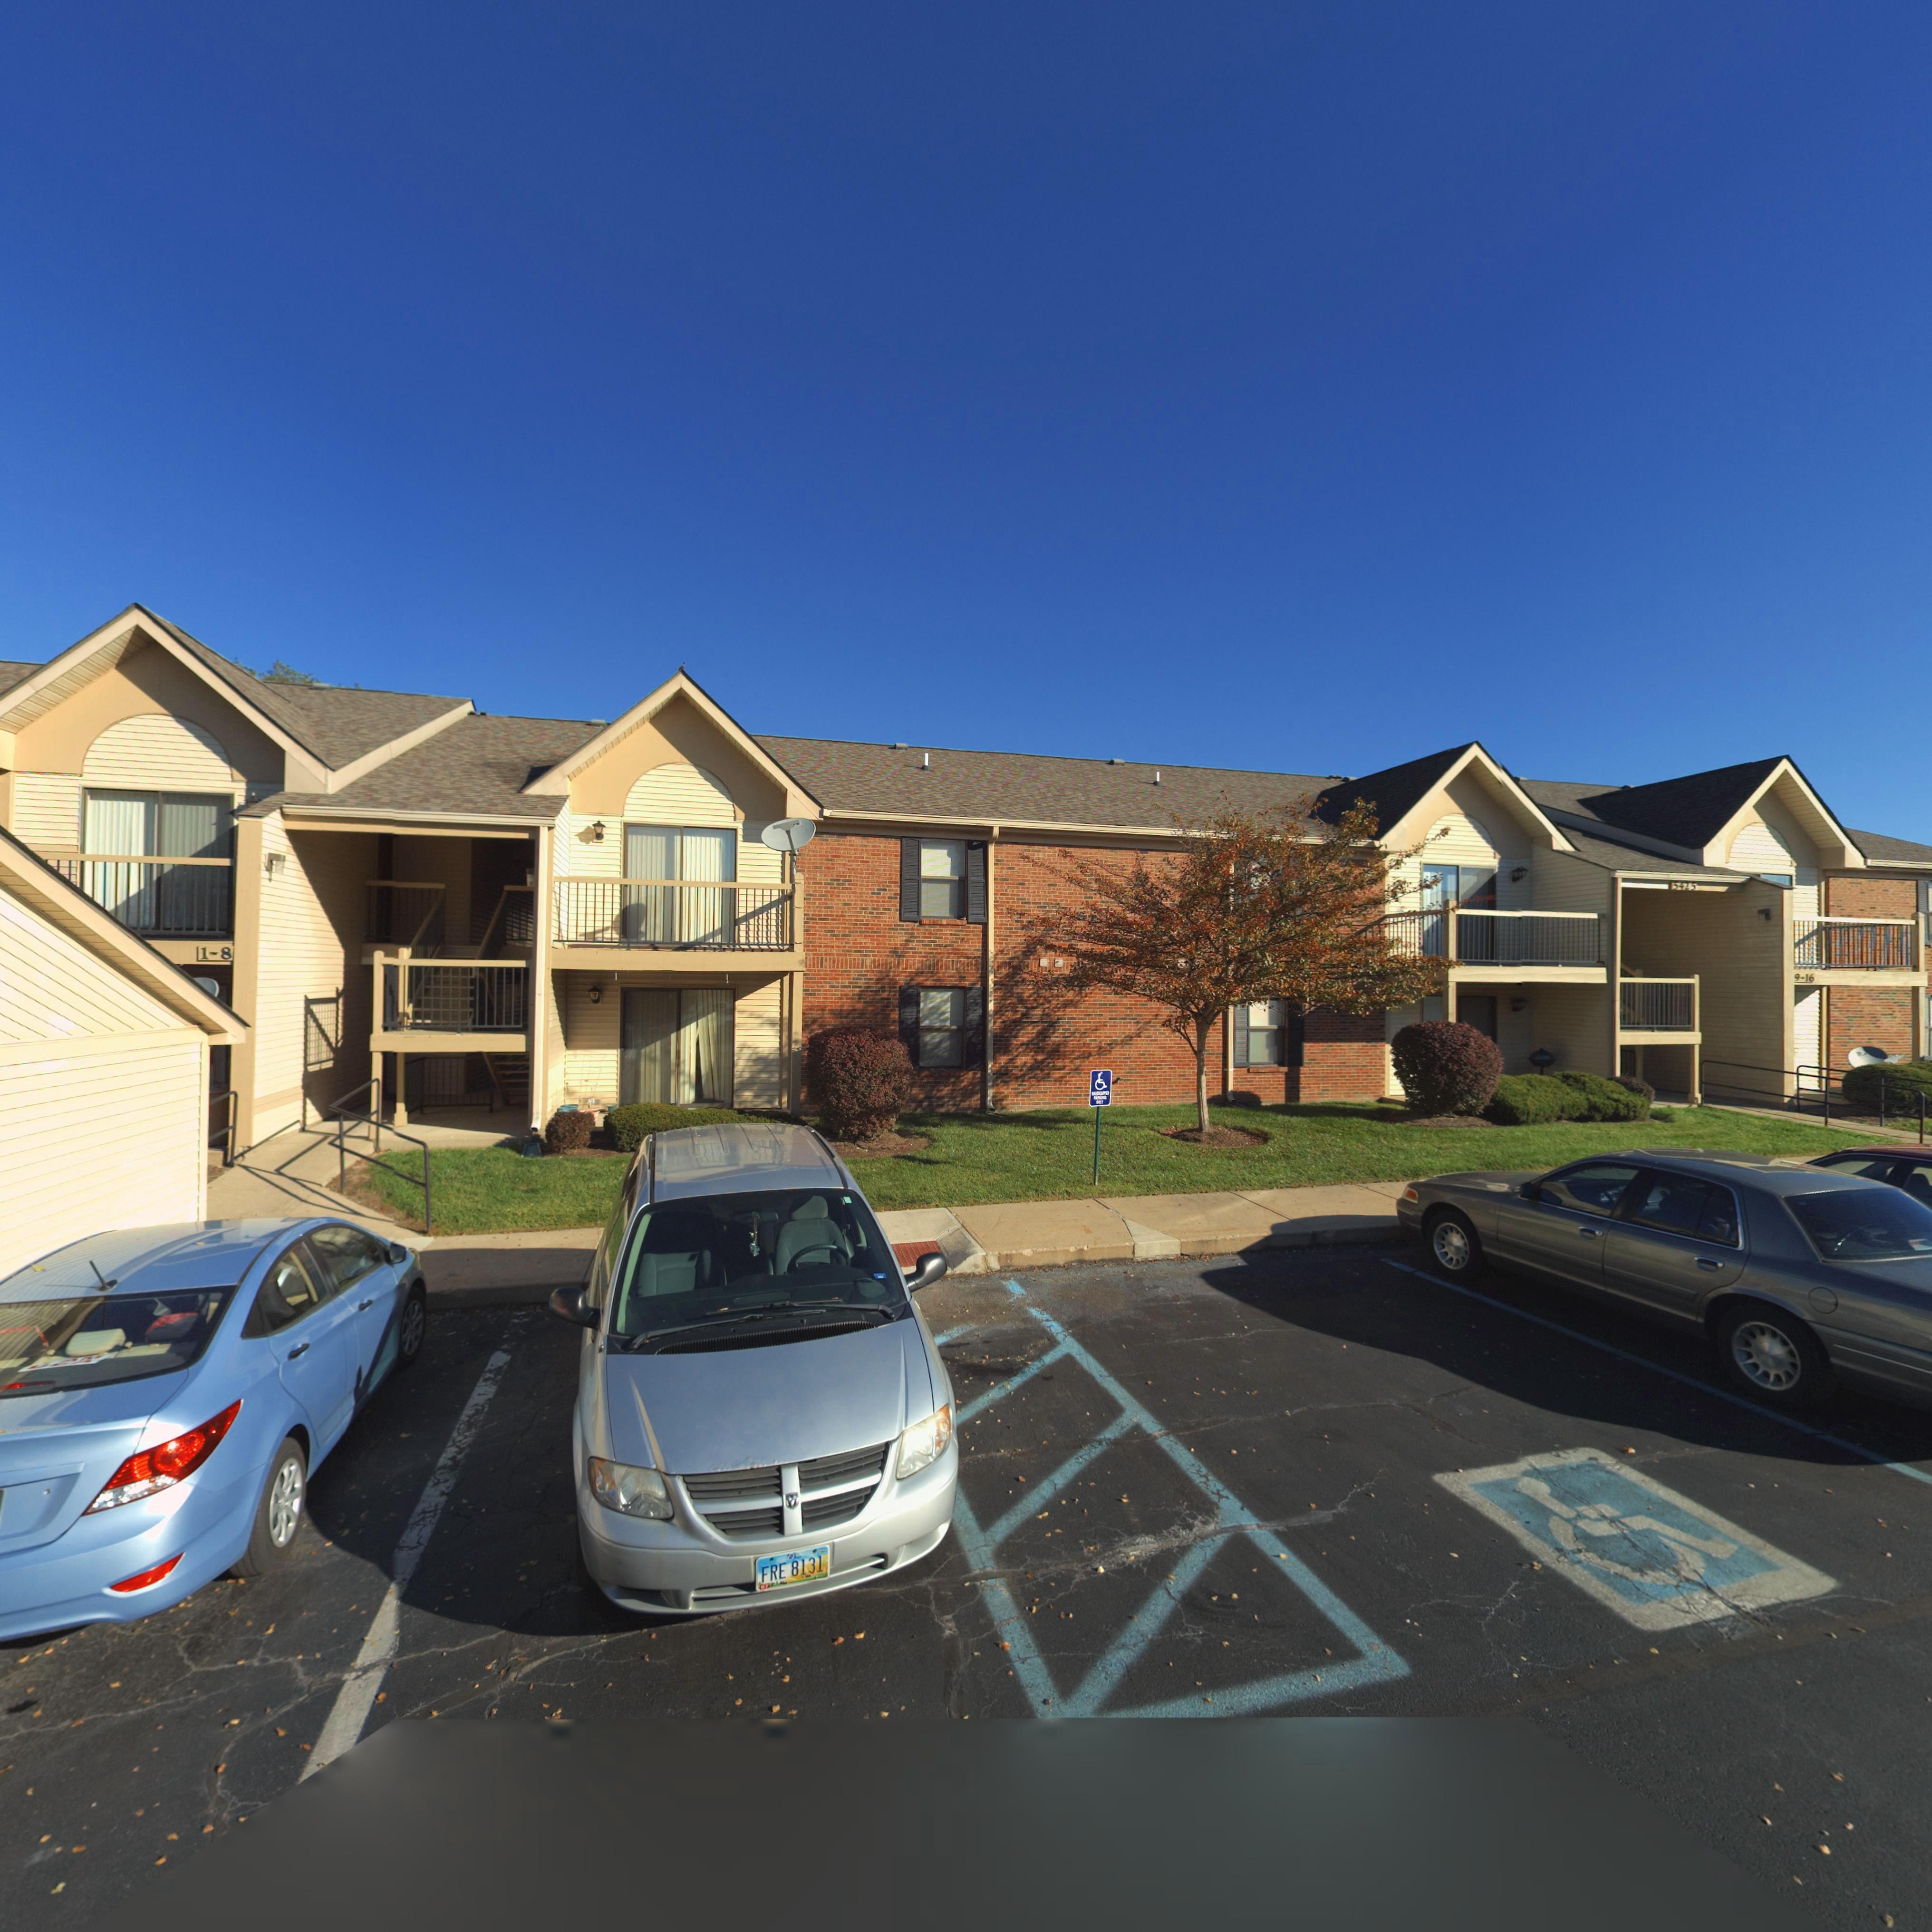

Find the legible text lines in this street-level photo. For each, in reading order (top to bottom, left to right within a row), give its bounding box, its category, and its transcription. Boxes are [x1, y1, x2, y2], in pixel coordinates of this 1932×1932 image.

[1671, 881, 1696, 890] StreetNumber: 5425
[199, 946, 232, 960] StreetNumber: 1-8
[1794, 973, 1815, 983] StreetNumber: 9-16